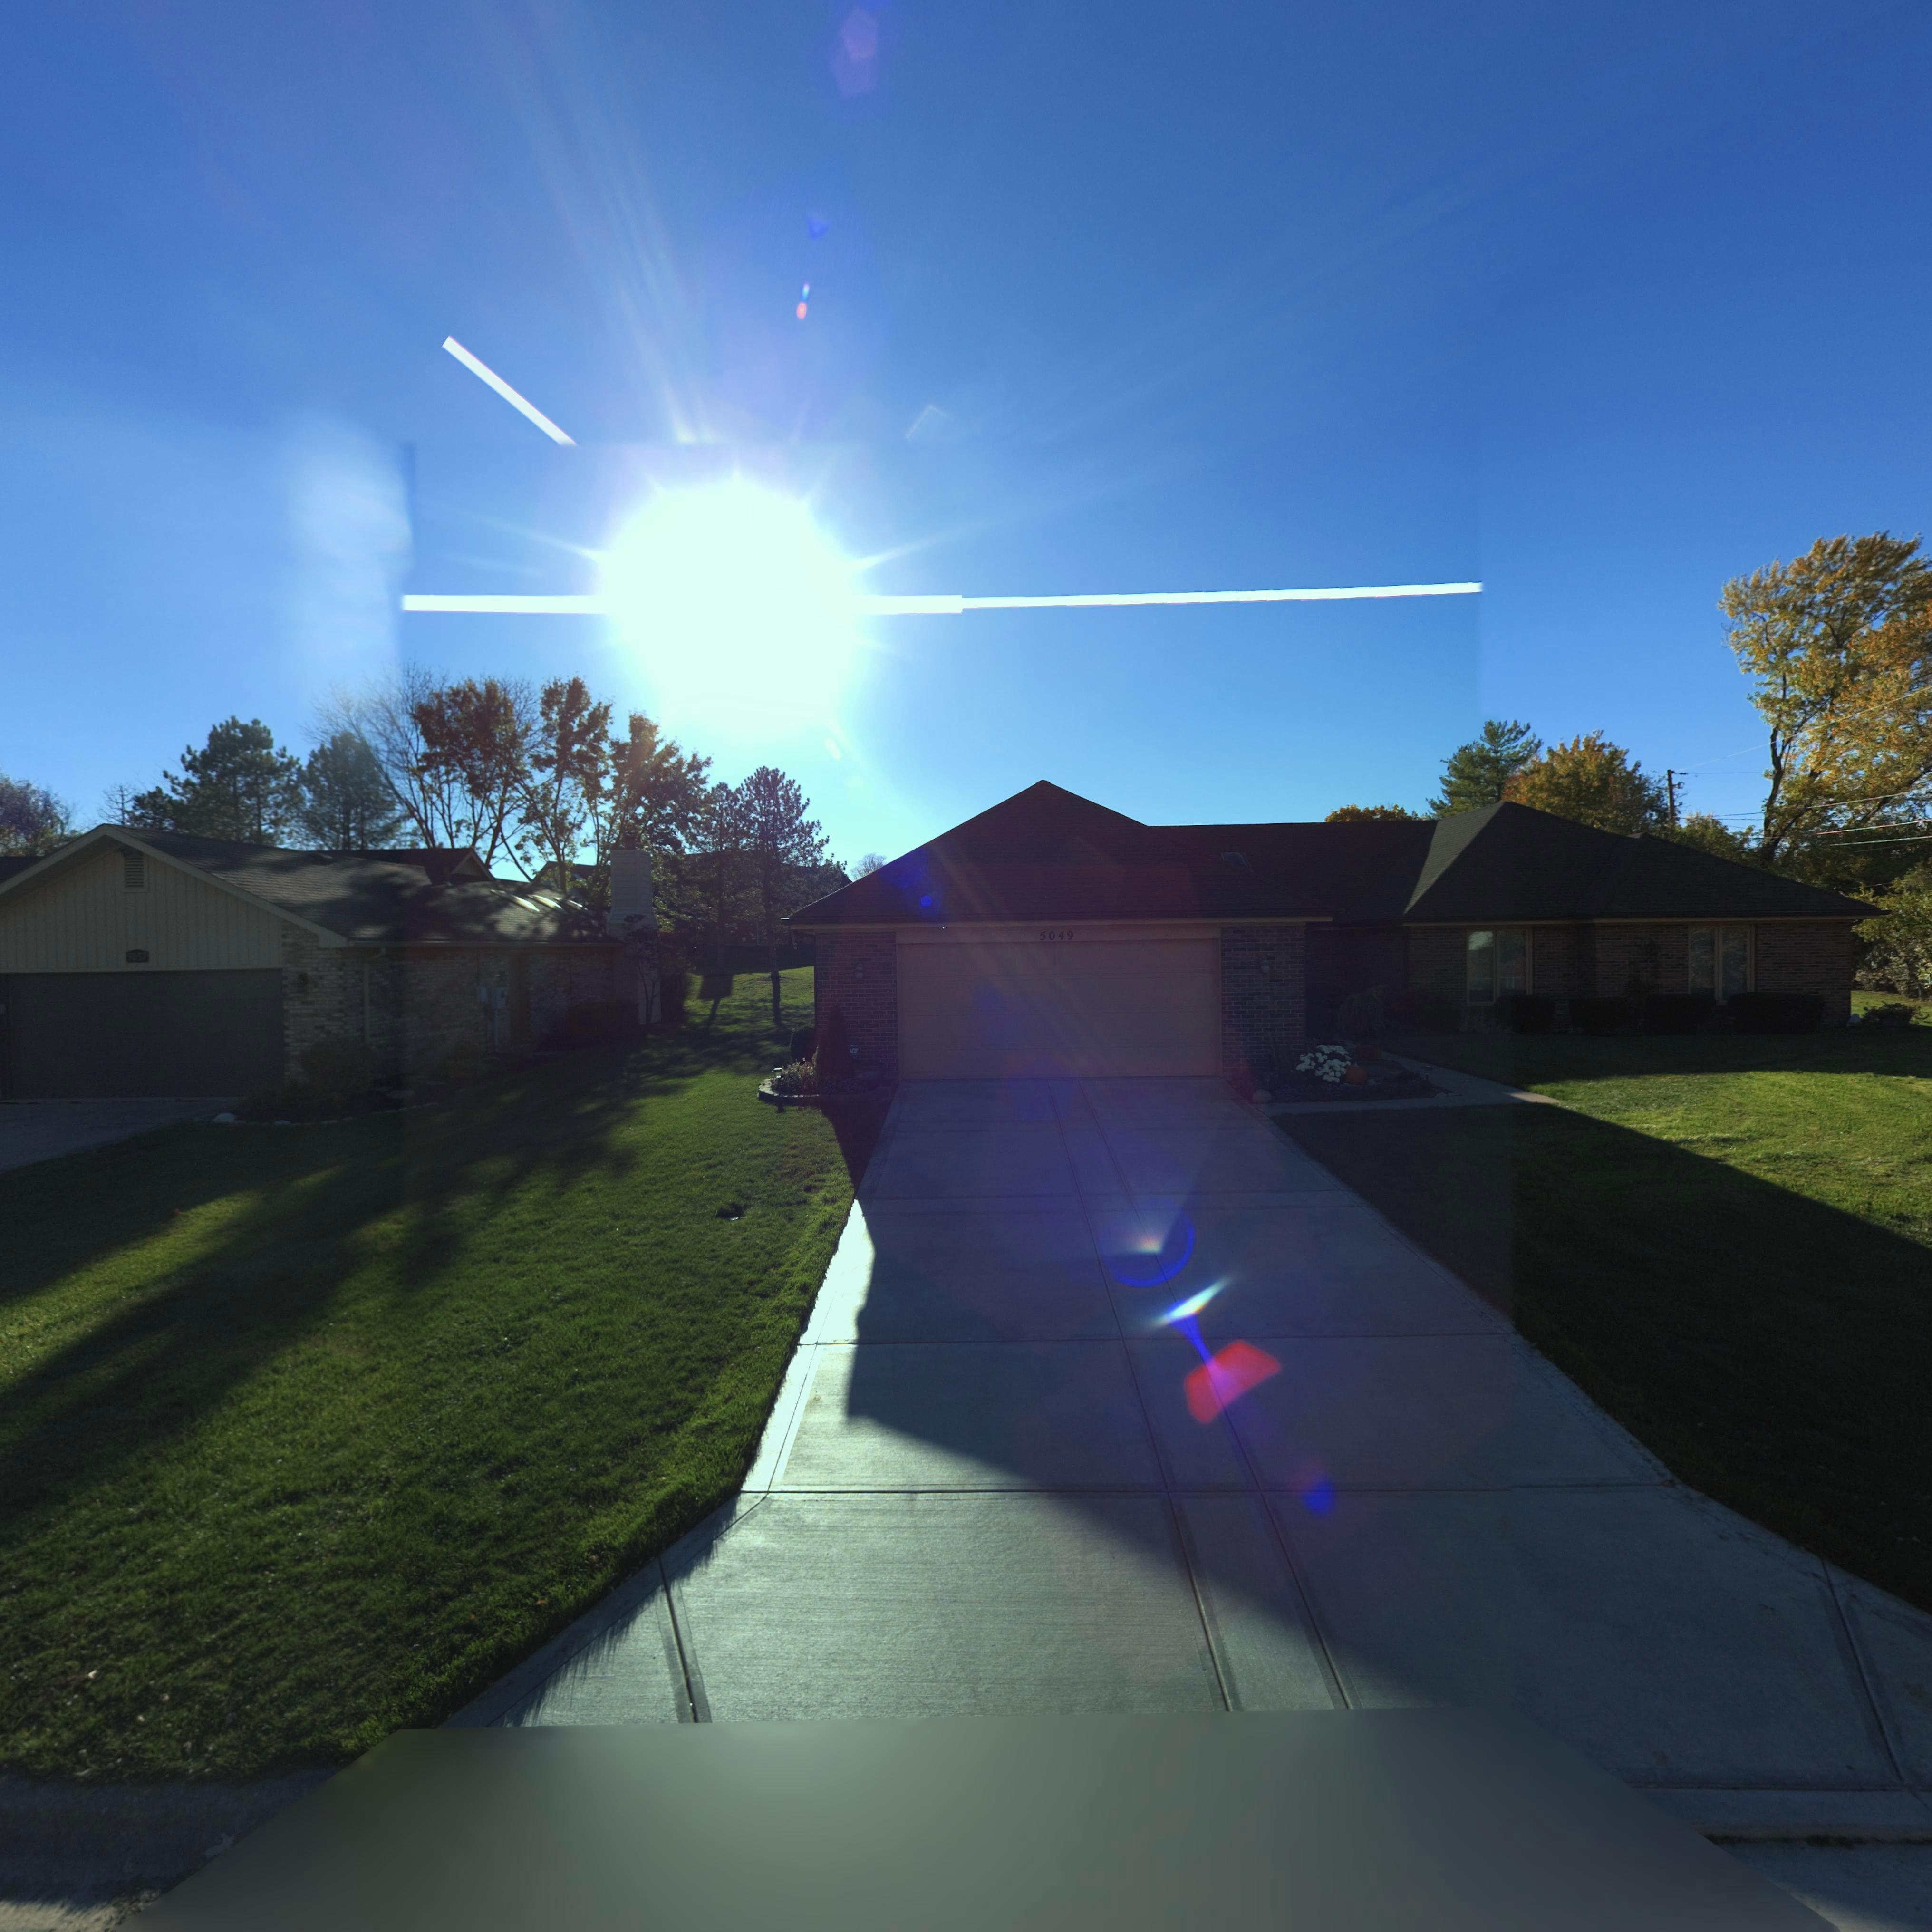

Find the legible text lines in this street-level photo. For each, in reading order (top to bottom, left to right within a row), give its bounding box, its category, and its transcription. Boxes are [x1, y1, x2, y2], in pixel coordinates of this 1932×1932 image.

[1039, 930, 1074, 941] StreetNumber: 5049
[126, 952, 147, 961] StreetNumber: 5057